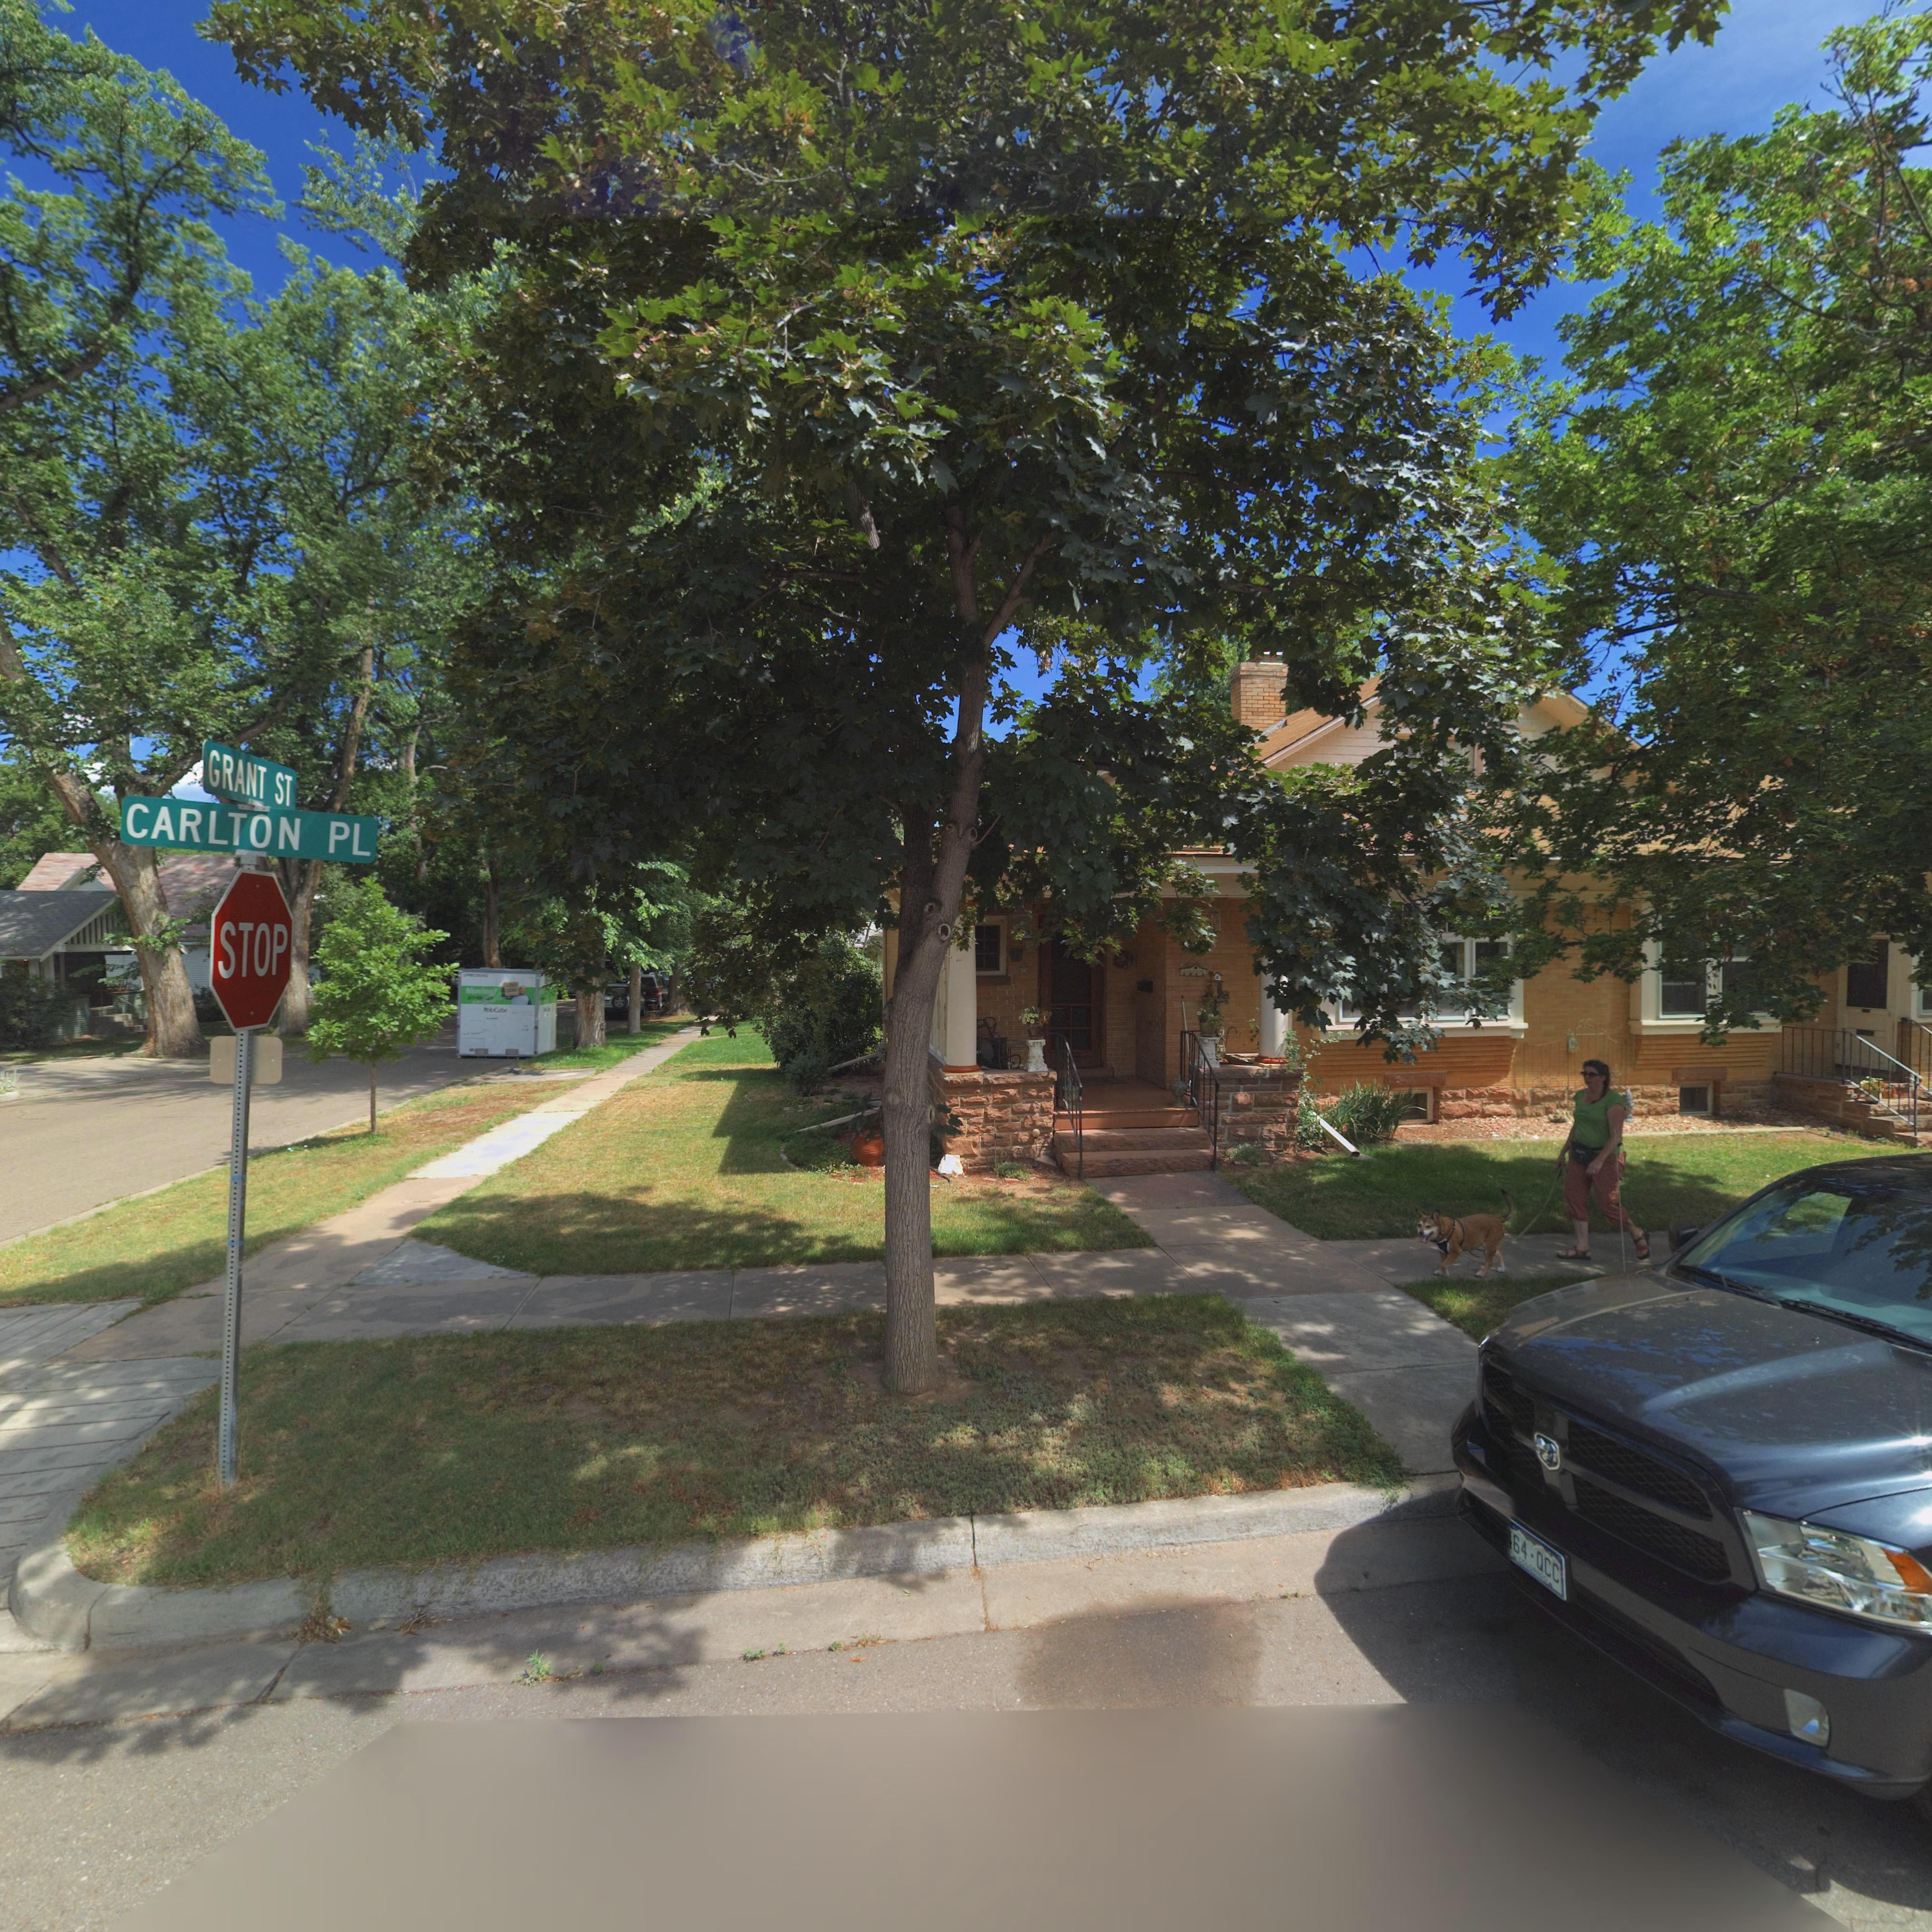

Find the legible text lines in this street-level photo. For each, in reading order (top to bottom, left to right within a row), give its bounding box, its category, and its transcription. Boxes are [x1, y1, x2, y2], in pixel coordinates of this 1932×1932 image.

[207, 749, 293, 807] StreetName: GRANT ST
[126, 802, 370, 856] StreetName: CARLTON PL